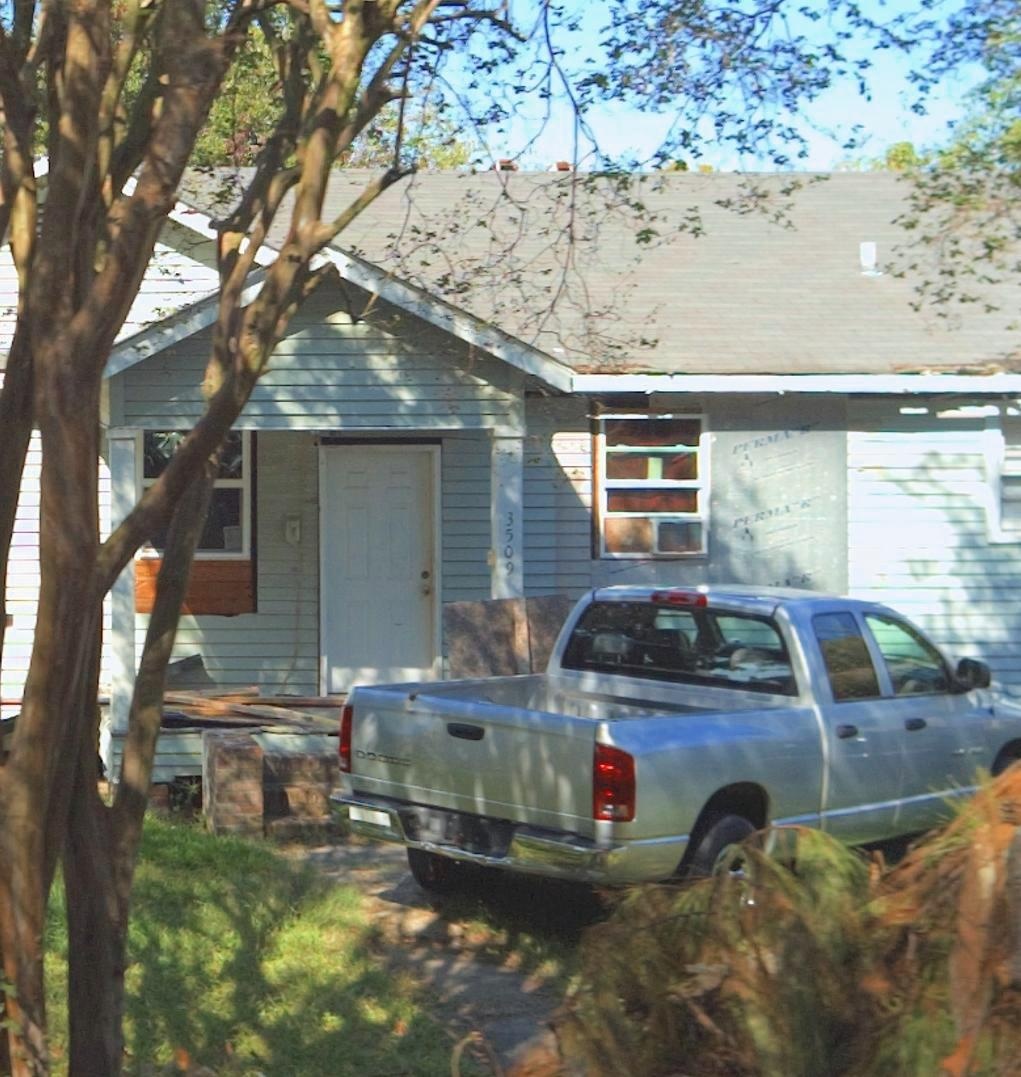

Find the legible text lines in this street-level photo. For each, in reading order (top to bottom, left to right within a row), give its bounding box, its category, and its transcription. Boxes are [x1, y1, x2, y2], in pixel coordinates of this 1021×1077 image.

[504, 510, 515, 577] StreetNumber: 3509